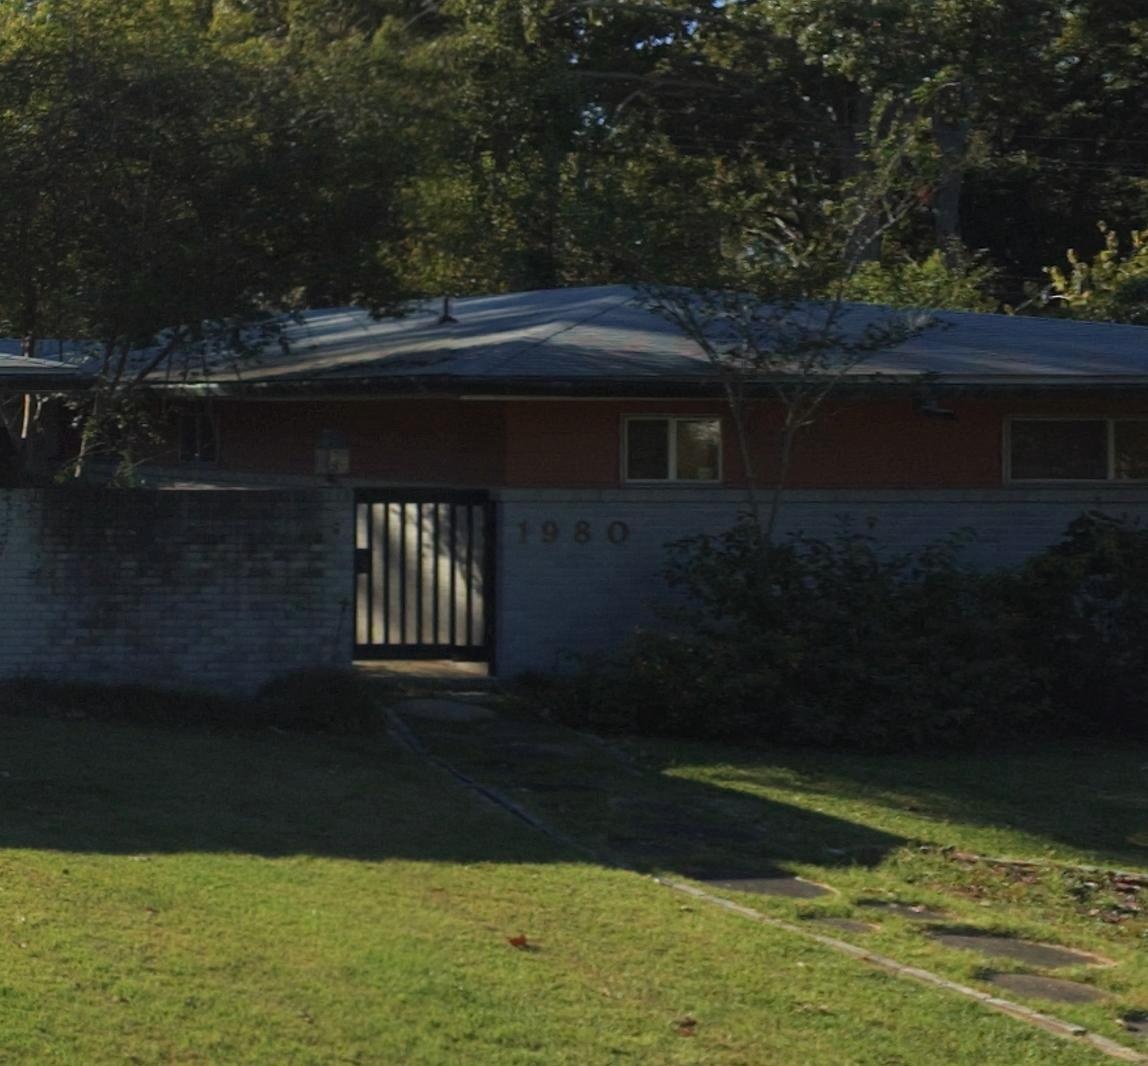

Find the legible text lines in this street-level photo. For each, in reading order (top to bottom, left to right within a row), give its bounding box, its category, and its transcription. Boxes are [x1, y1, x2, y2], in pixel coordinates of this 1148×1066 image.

[515, 517, 632, 547] StreetNumber: 1980